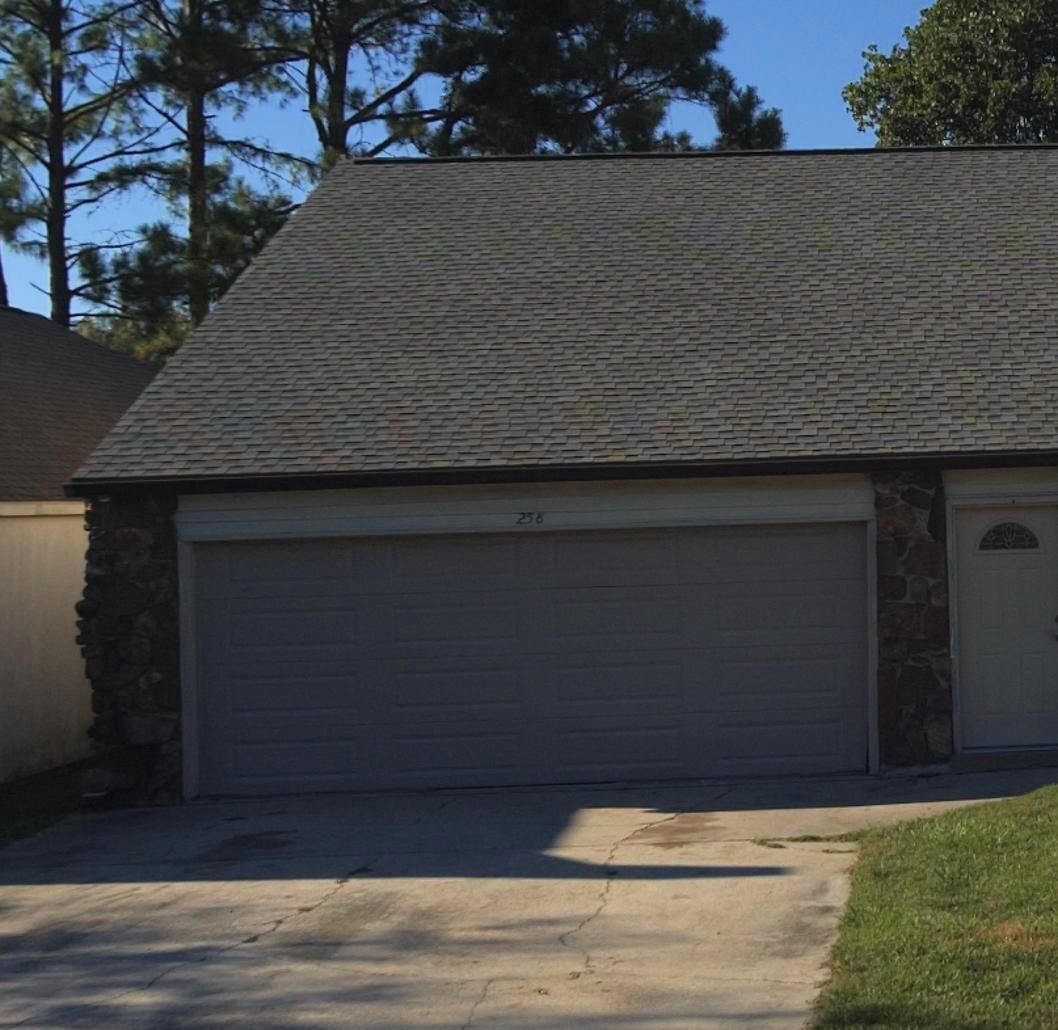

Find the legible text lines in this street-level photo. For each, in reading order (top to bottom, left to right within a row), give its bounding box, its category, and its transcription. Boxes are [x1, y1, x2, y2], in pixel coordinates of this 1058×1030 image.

[517, 511, 547, 526] StreetNumber: 258